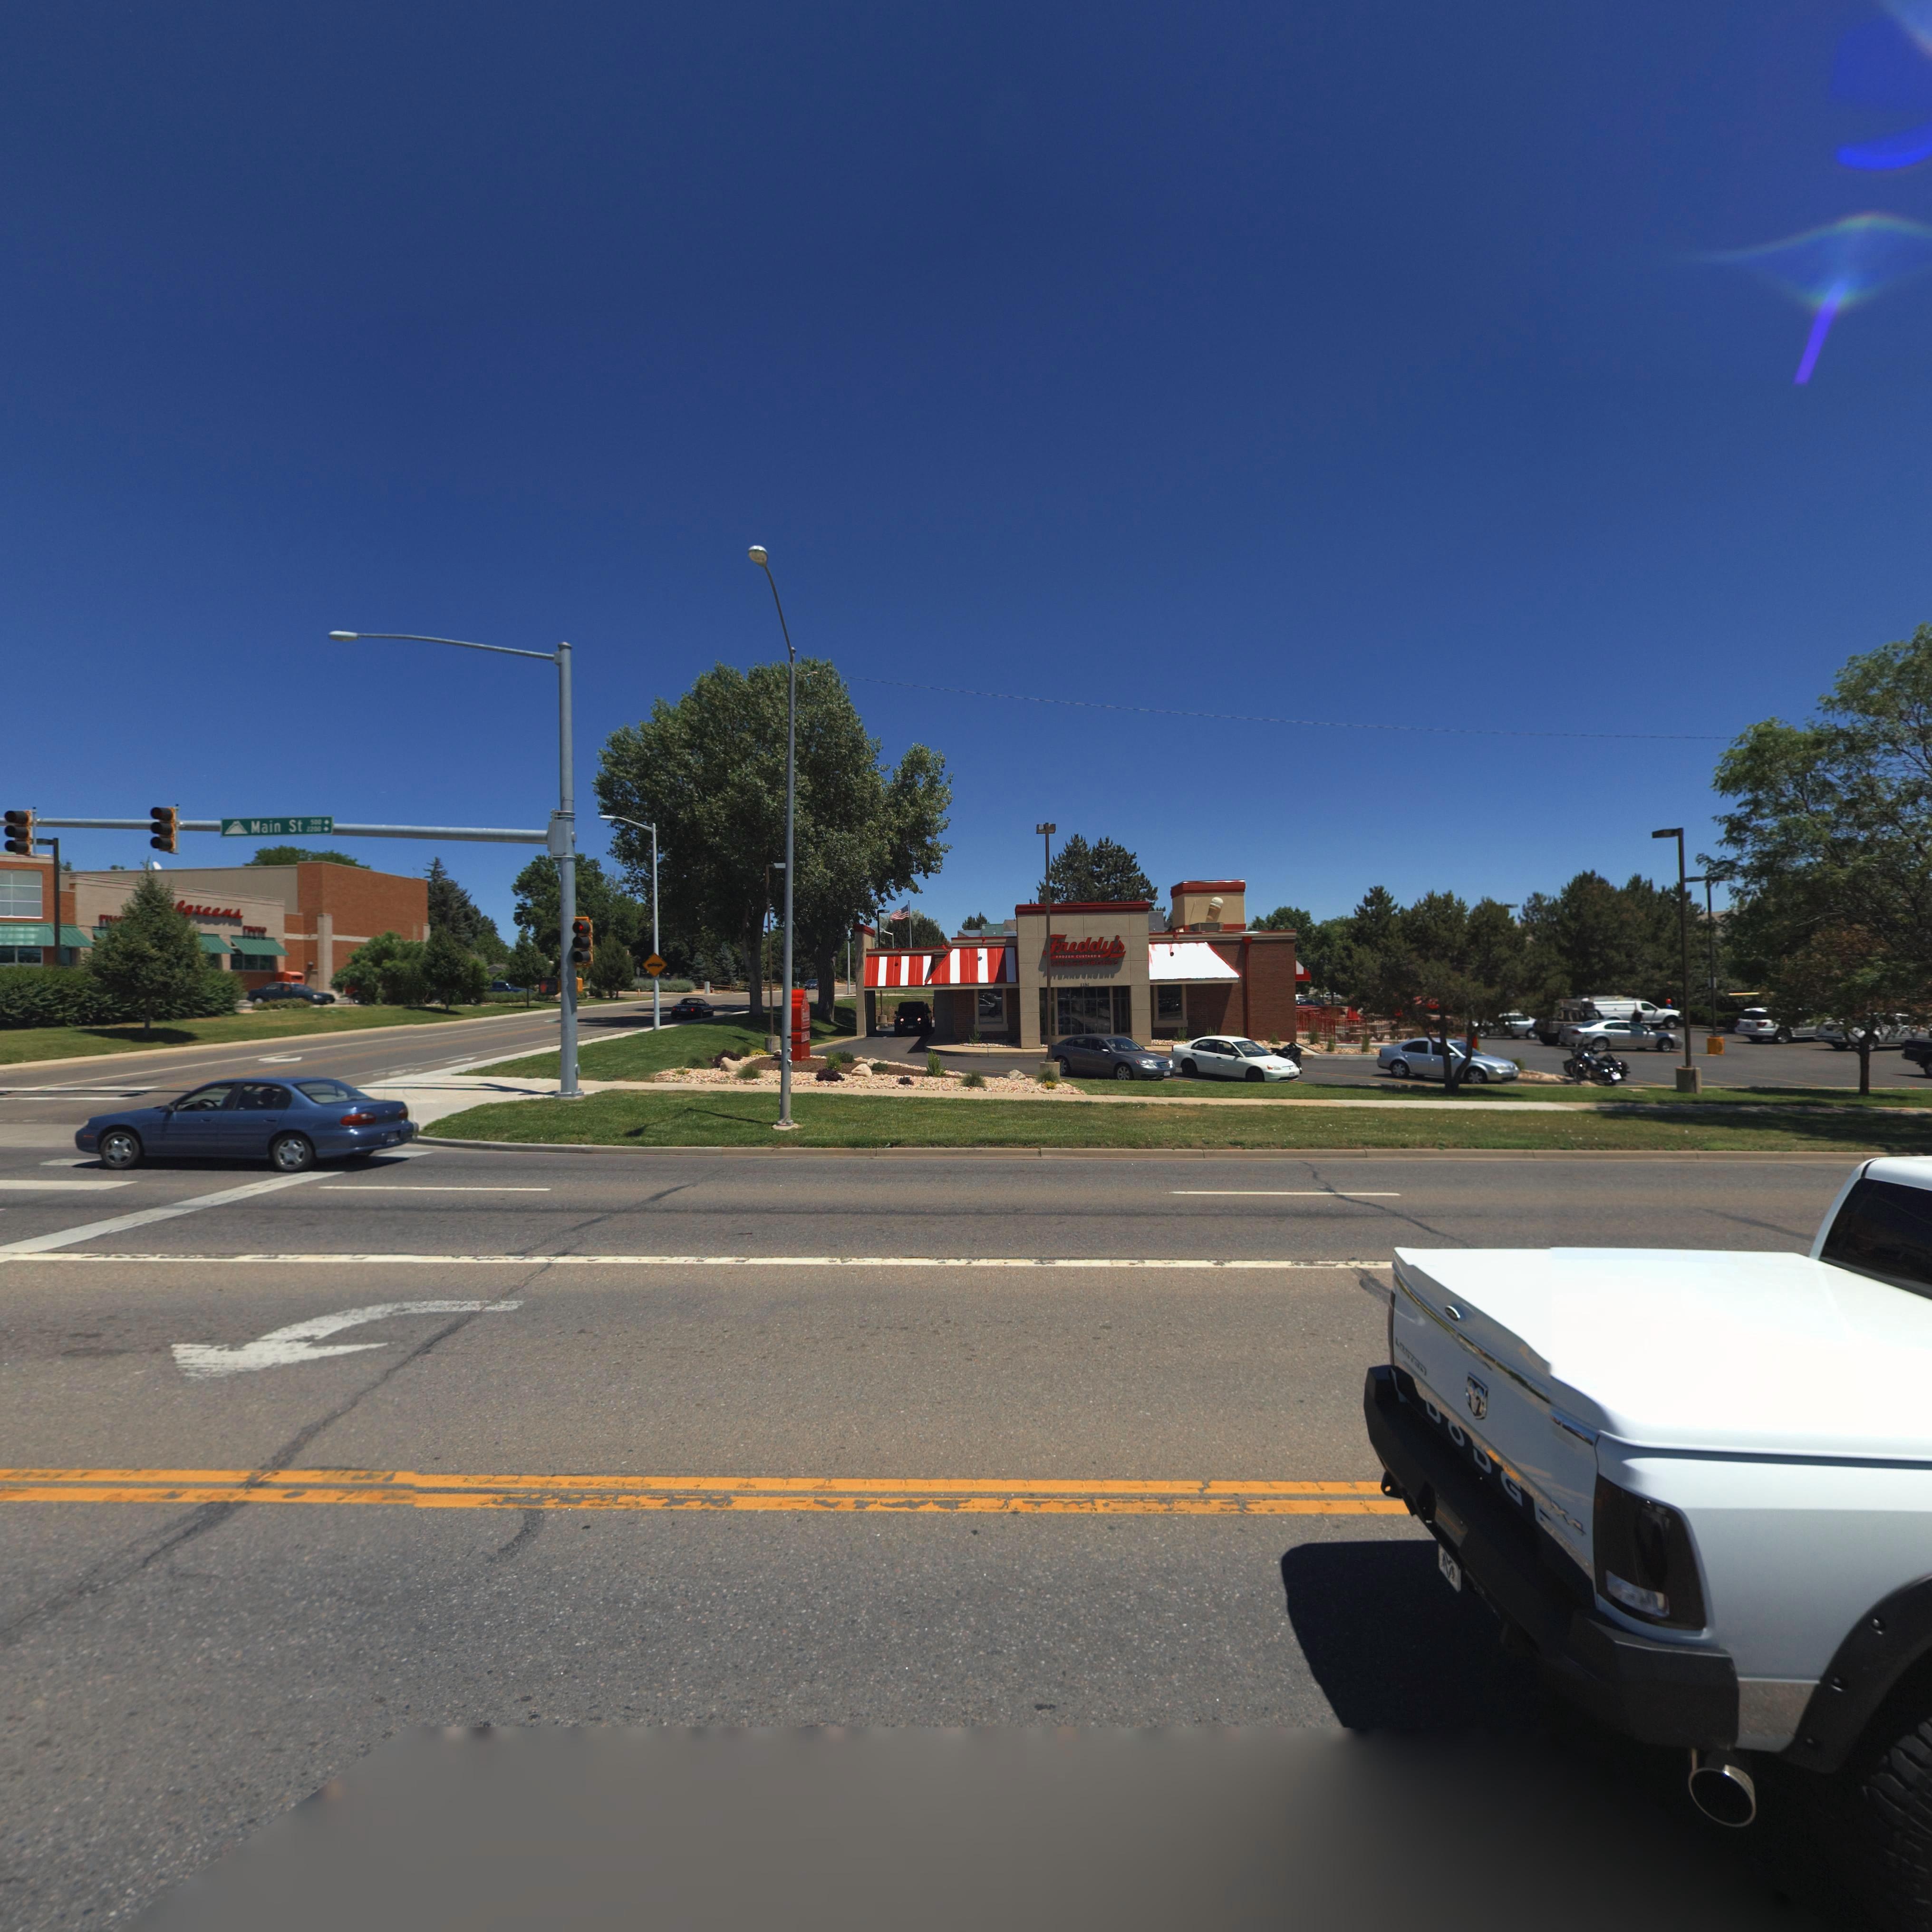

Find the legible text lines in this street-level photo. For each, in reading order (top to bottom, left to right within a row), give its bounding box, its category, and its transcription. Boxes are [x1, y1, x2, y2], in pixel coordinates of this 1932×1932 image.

[251, 819, 302, 833] StreetName: Main St
[309, 819, 322, 824] StreetNumberRange: 5**
[306, 826, 329, 831] StreetNumberRange: 2**0*
[175, 899, 244, 918] BusinessName: l*reens
[1043, 934, 1124, 957] BusinessName: *reddy's
[1080, 983, 1090, 986] StreetNumber: *2**